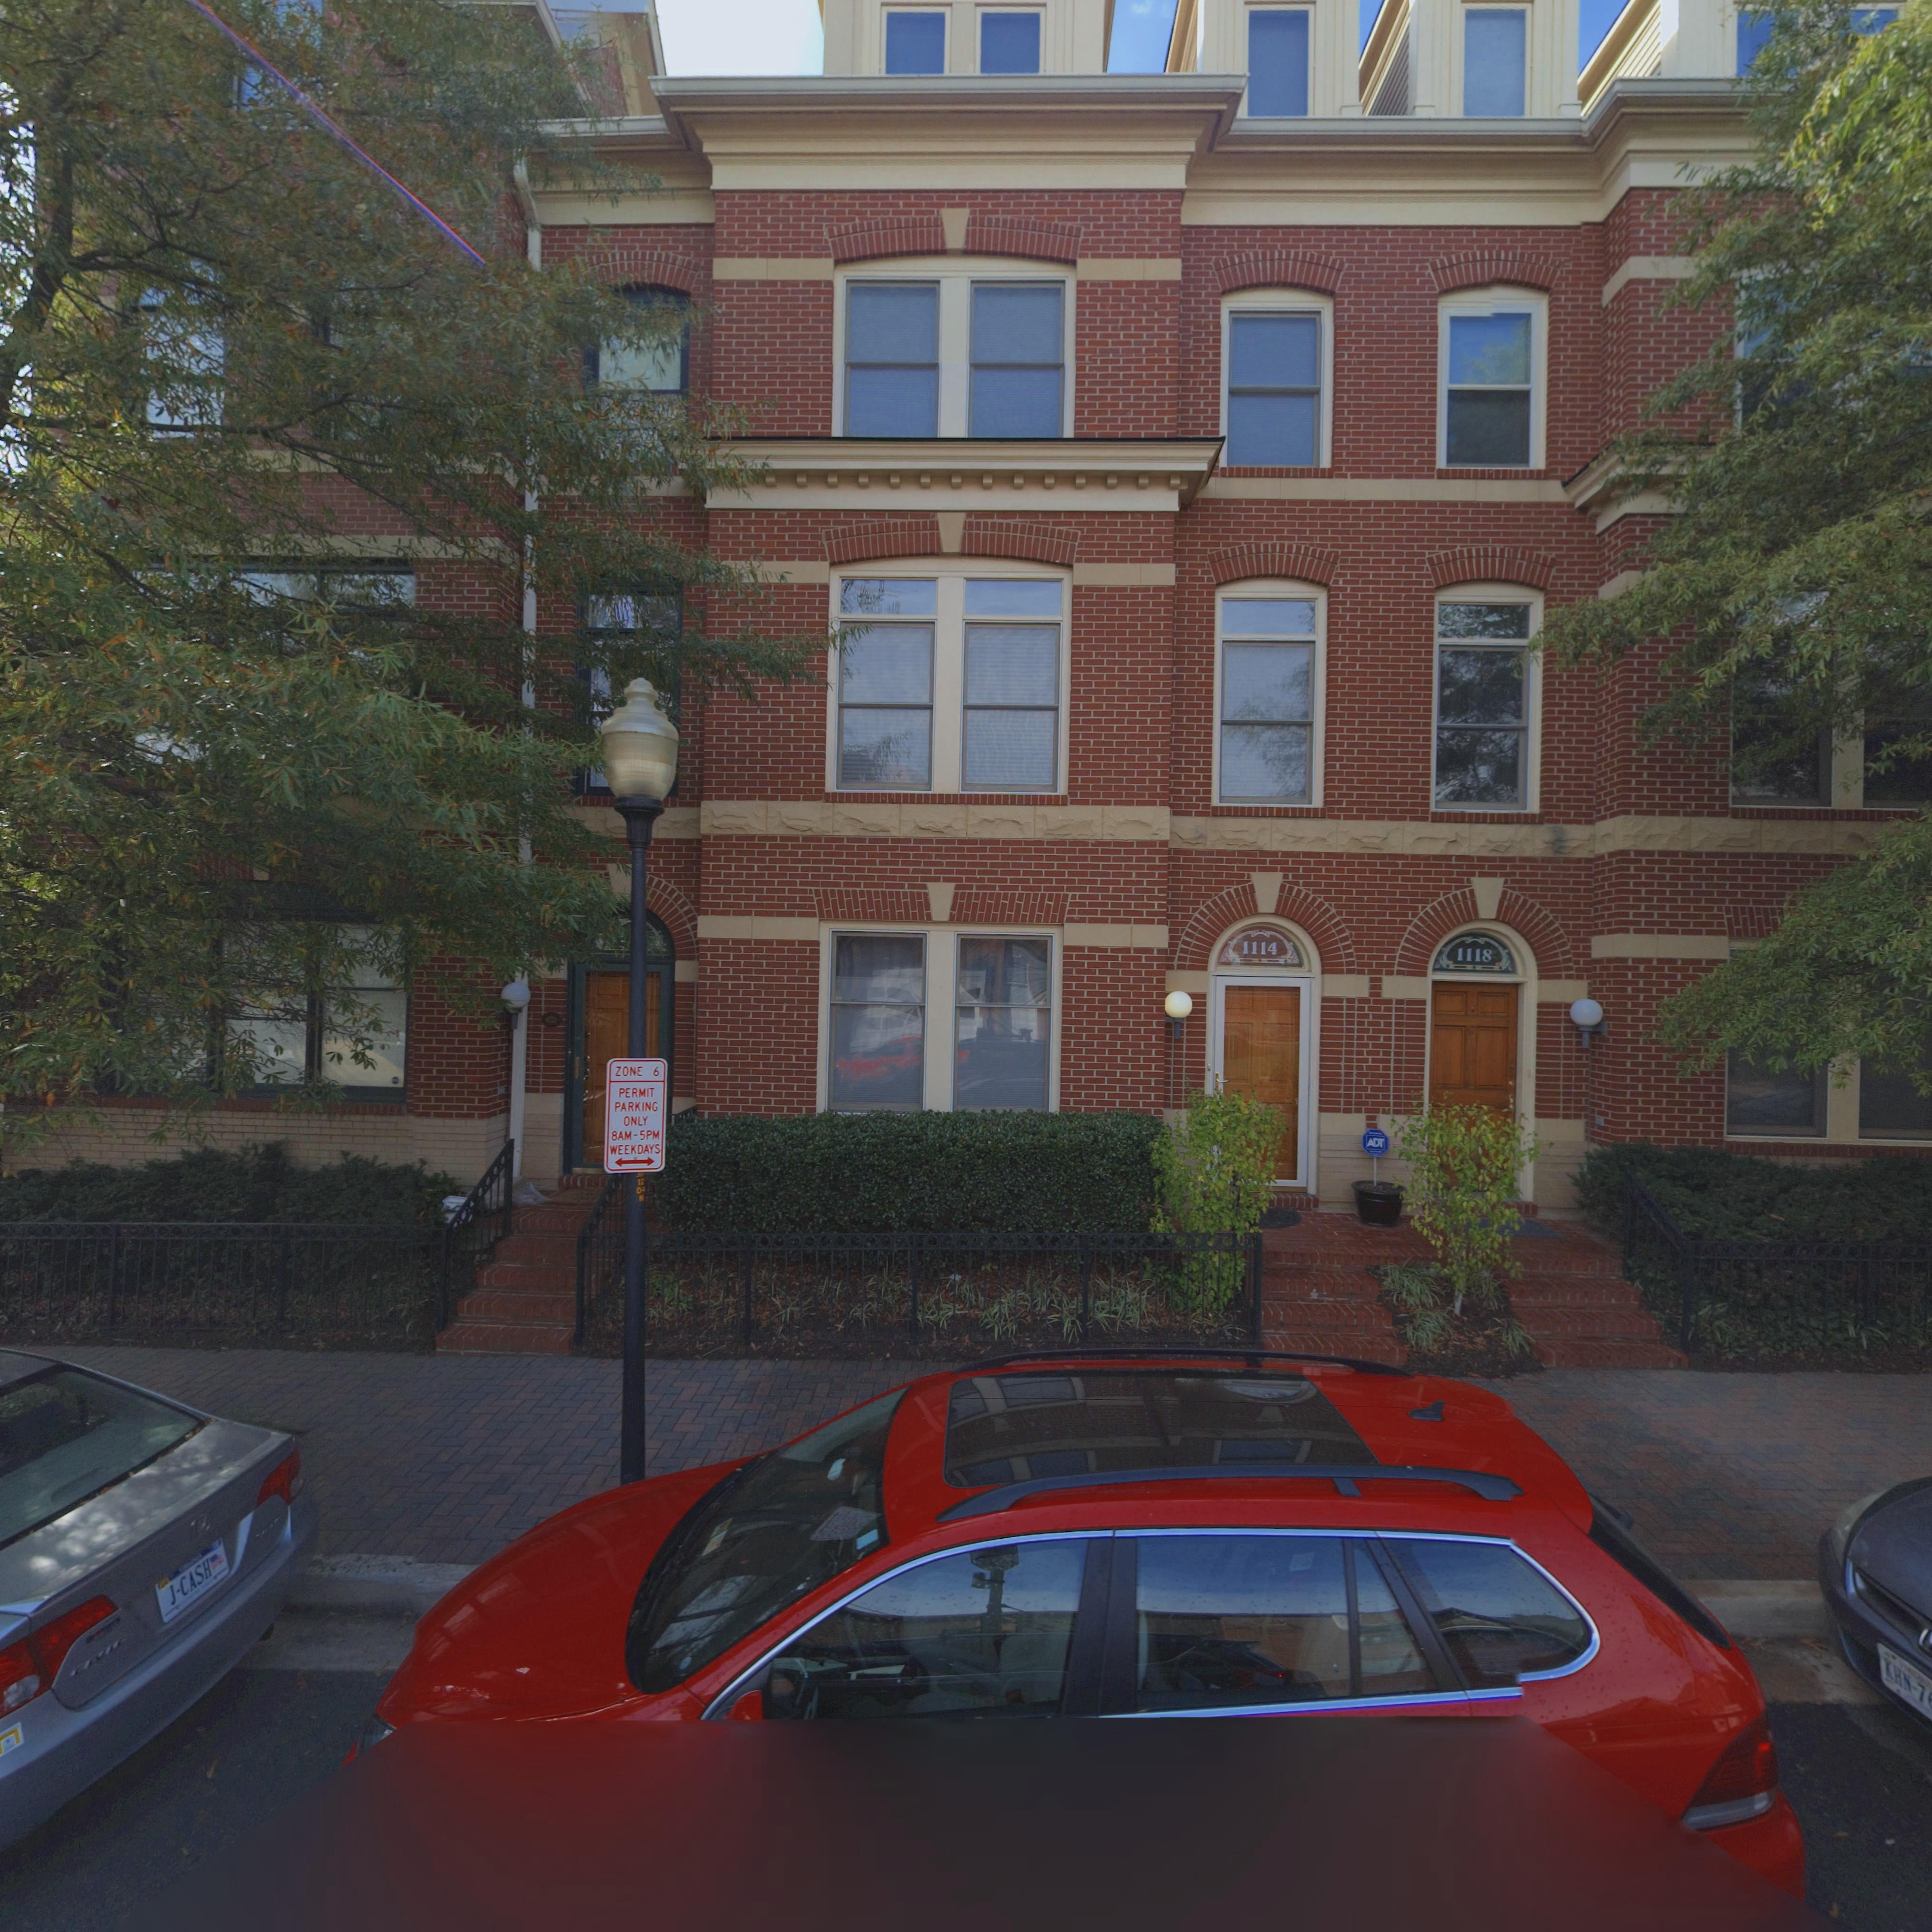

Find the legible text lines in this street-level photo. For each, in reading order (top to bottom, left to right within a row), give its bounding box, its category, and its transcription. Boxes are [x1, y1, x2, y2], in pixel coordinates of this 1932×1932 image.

[1242, 940, 1279, 956] StreetNumber: 1114
[1456, 947, 1493, 963] StreetNumber: 1118
[614, 1063, 661, 1079] None: ZONE 6
[617, 1086, 656, 1099] None: PERMIT
[613, 1100, 659, 1113] None: PARKING
[622, 1114, 650, 1128] None: ONLY
[610, 1128, 661, 1142] None: 8AM-5PM
[1365, 1136, 1386, 1149] None: ADT
[608, 1143, 662, 1156] None: WEEKDAYS
[637, 1177, 646, 1188] None: 12
[636, 1185, 647, 1195] None: 04
[638, 1192, 646, 1203] None: N
[168, 1555, 214, 1609] None: J-CASH
[1882, 1653, 1928, 1706] None: KHN-7